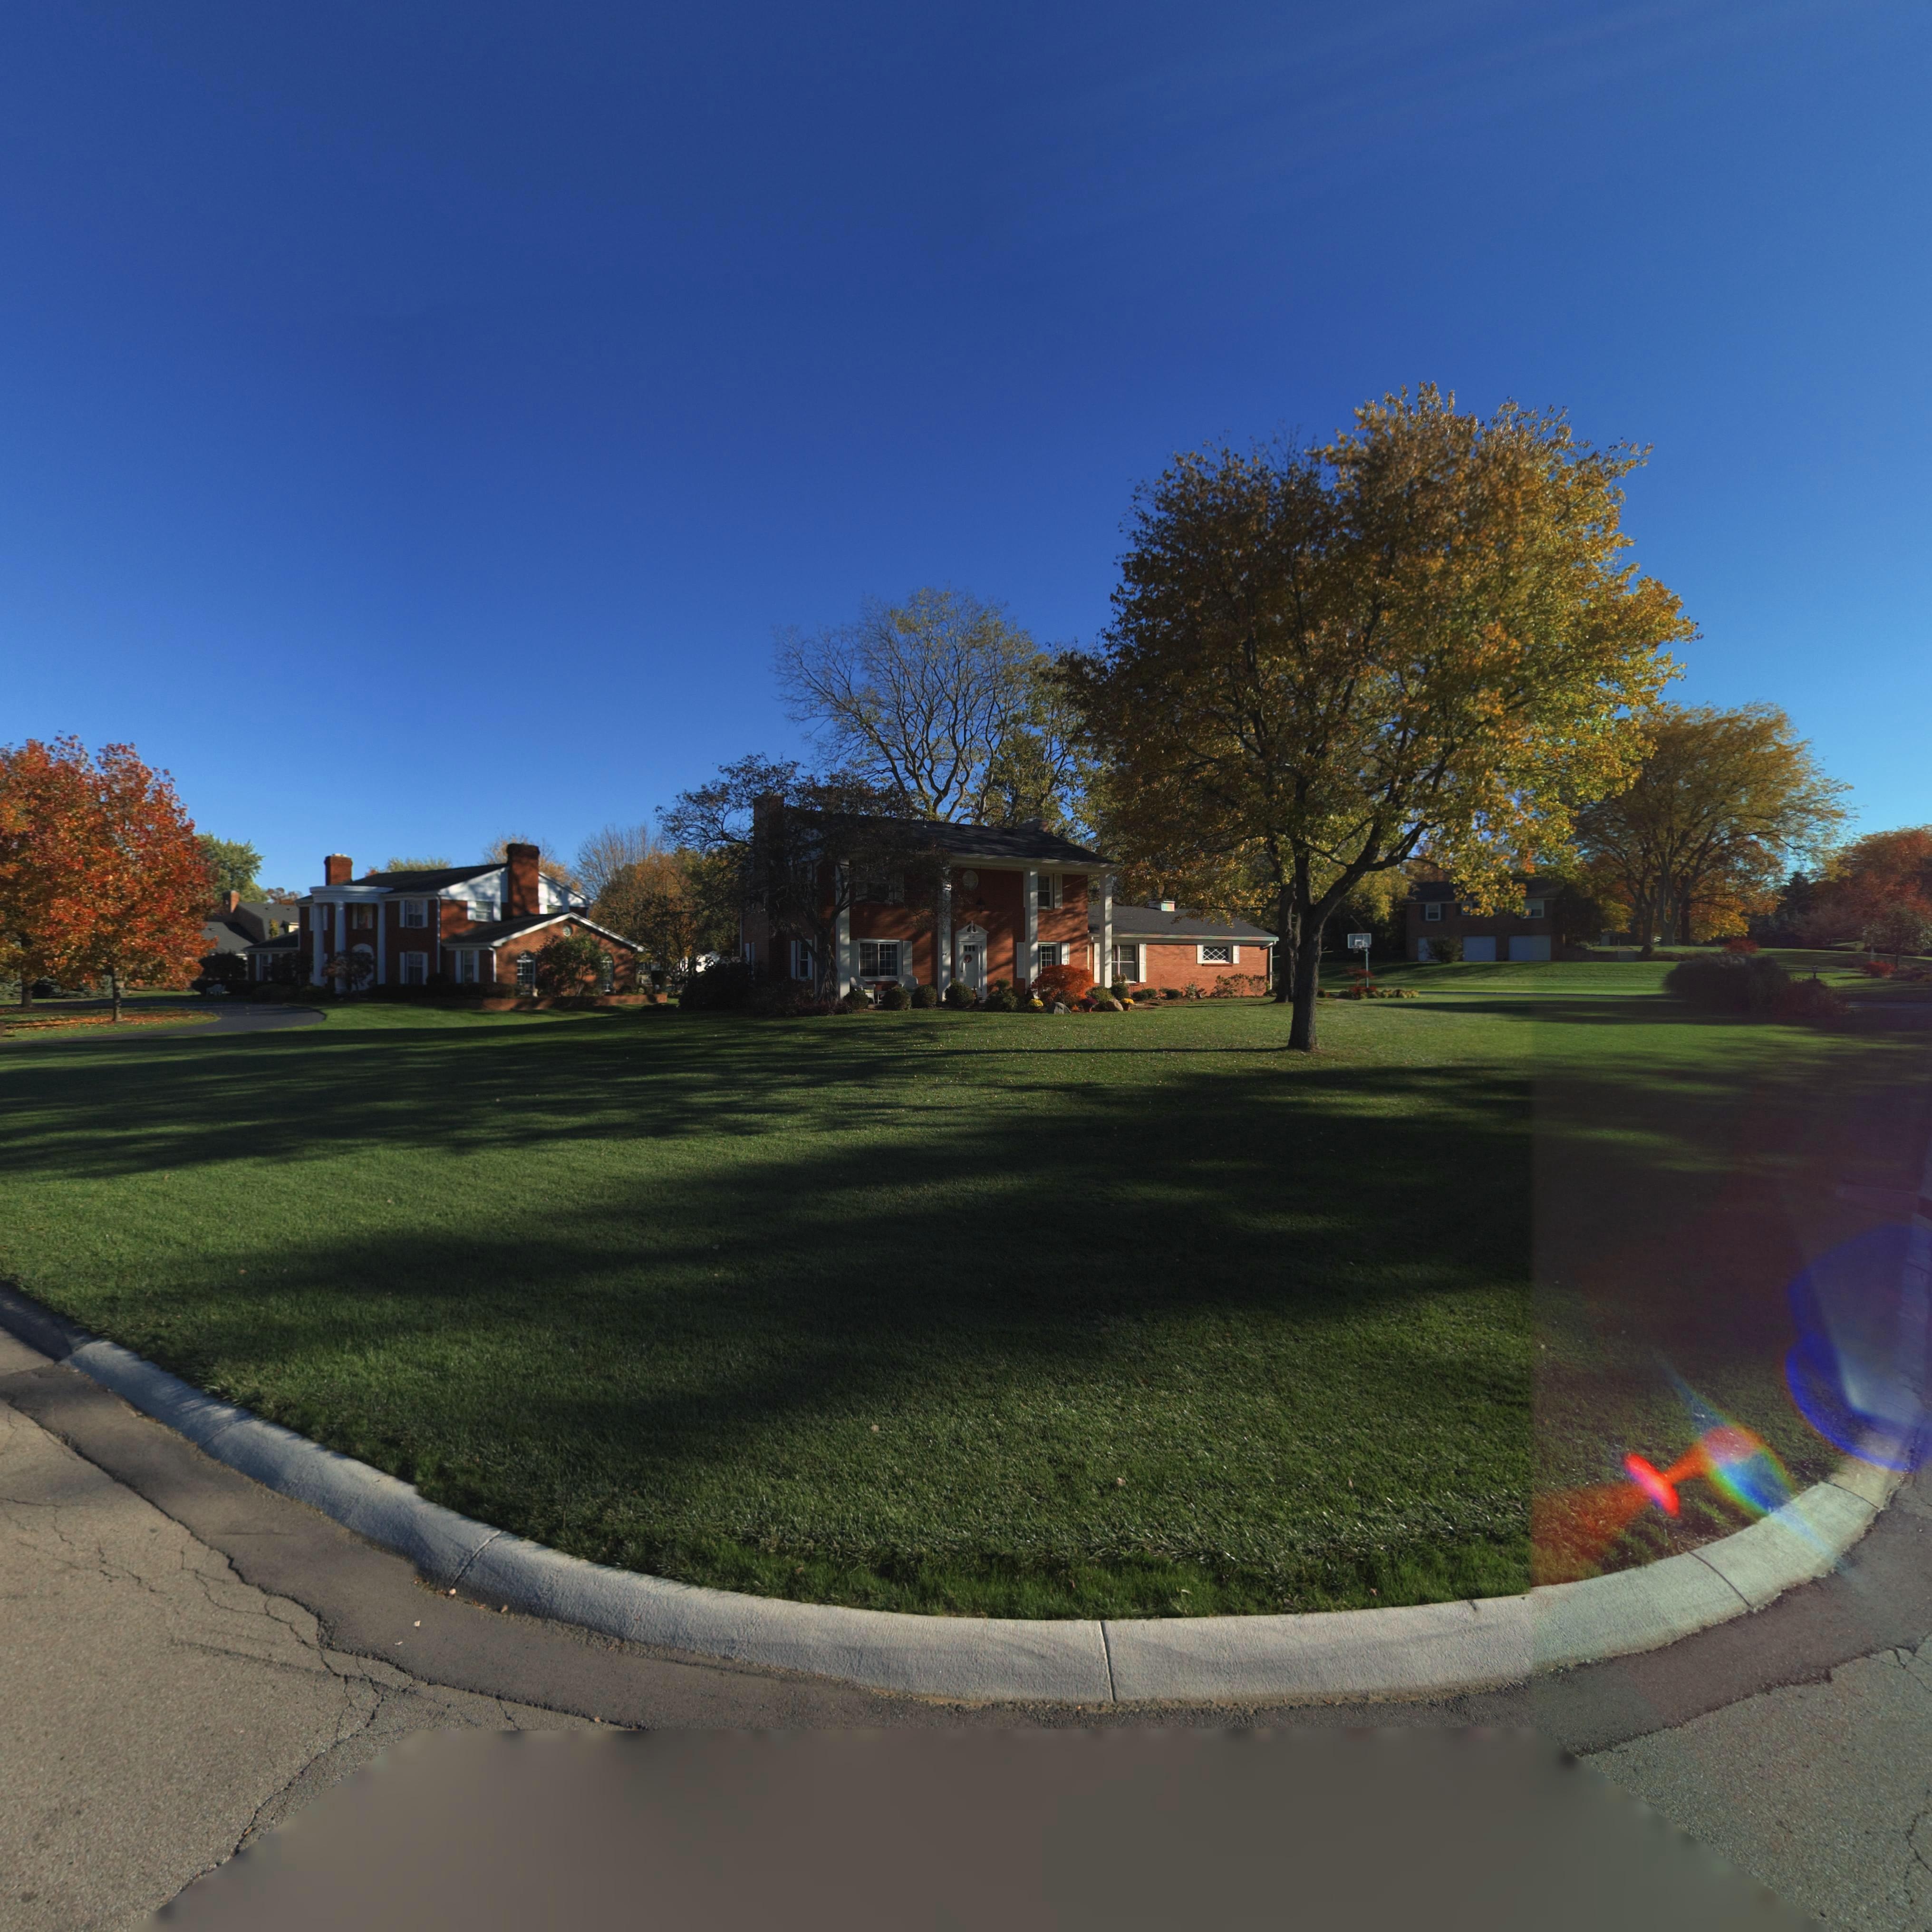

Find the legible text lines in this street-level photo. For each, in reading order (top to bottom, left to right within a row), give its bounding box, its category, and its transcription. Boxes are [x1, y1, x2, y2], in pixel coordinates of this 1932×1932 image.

[968, 935, 976, 939] StreetNumber: 5830